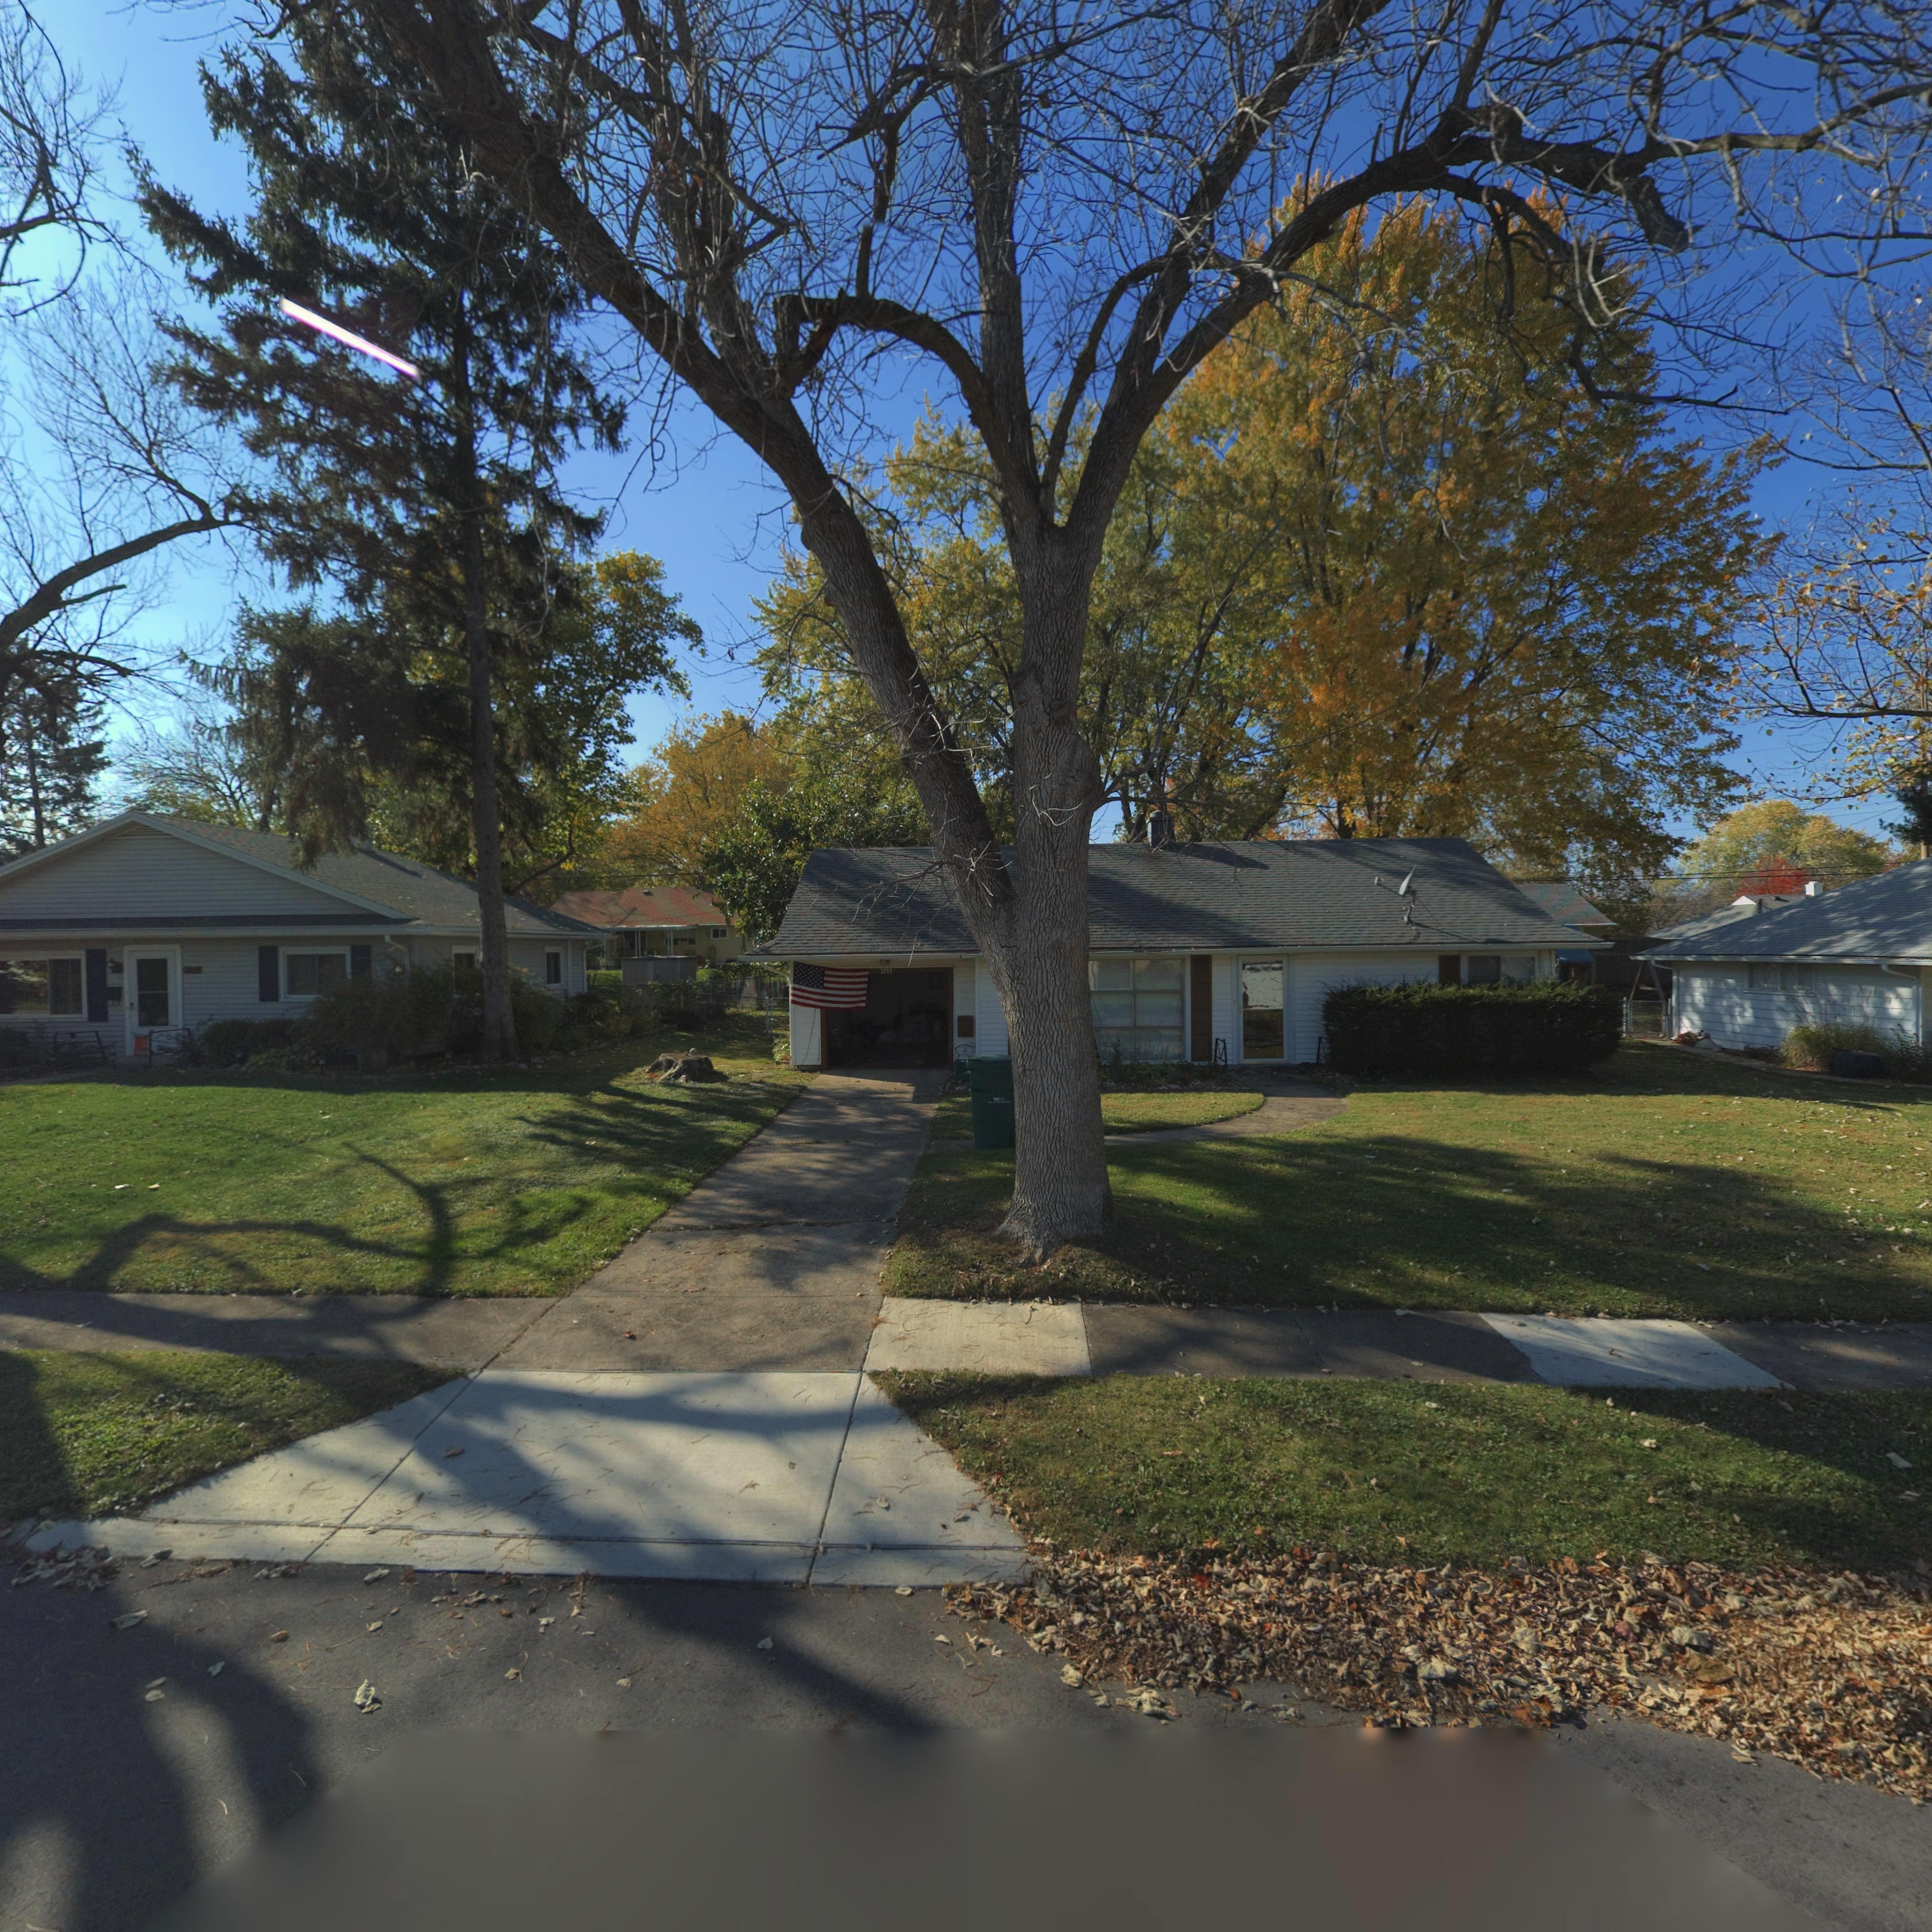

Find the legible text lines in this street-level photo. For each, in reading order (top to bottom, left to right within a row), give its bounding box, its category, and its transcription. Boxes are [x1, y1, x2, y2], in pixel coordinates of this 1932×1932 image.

[880, 968, 892, 974] StreetNumber: 3749